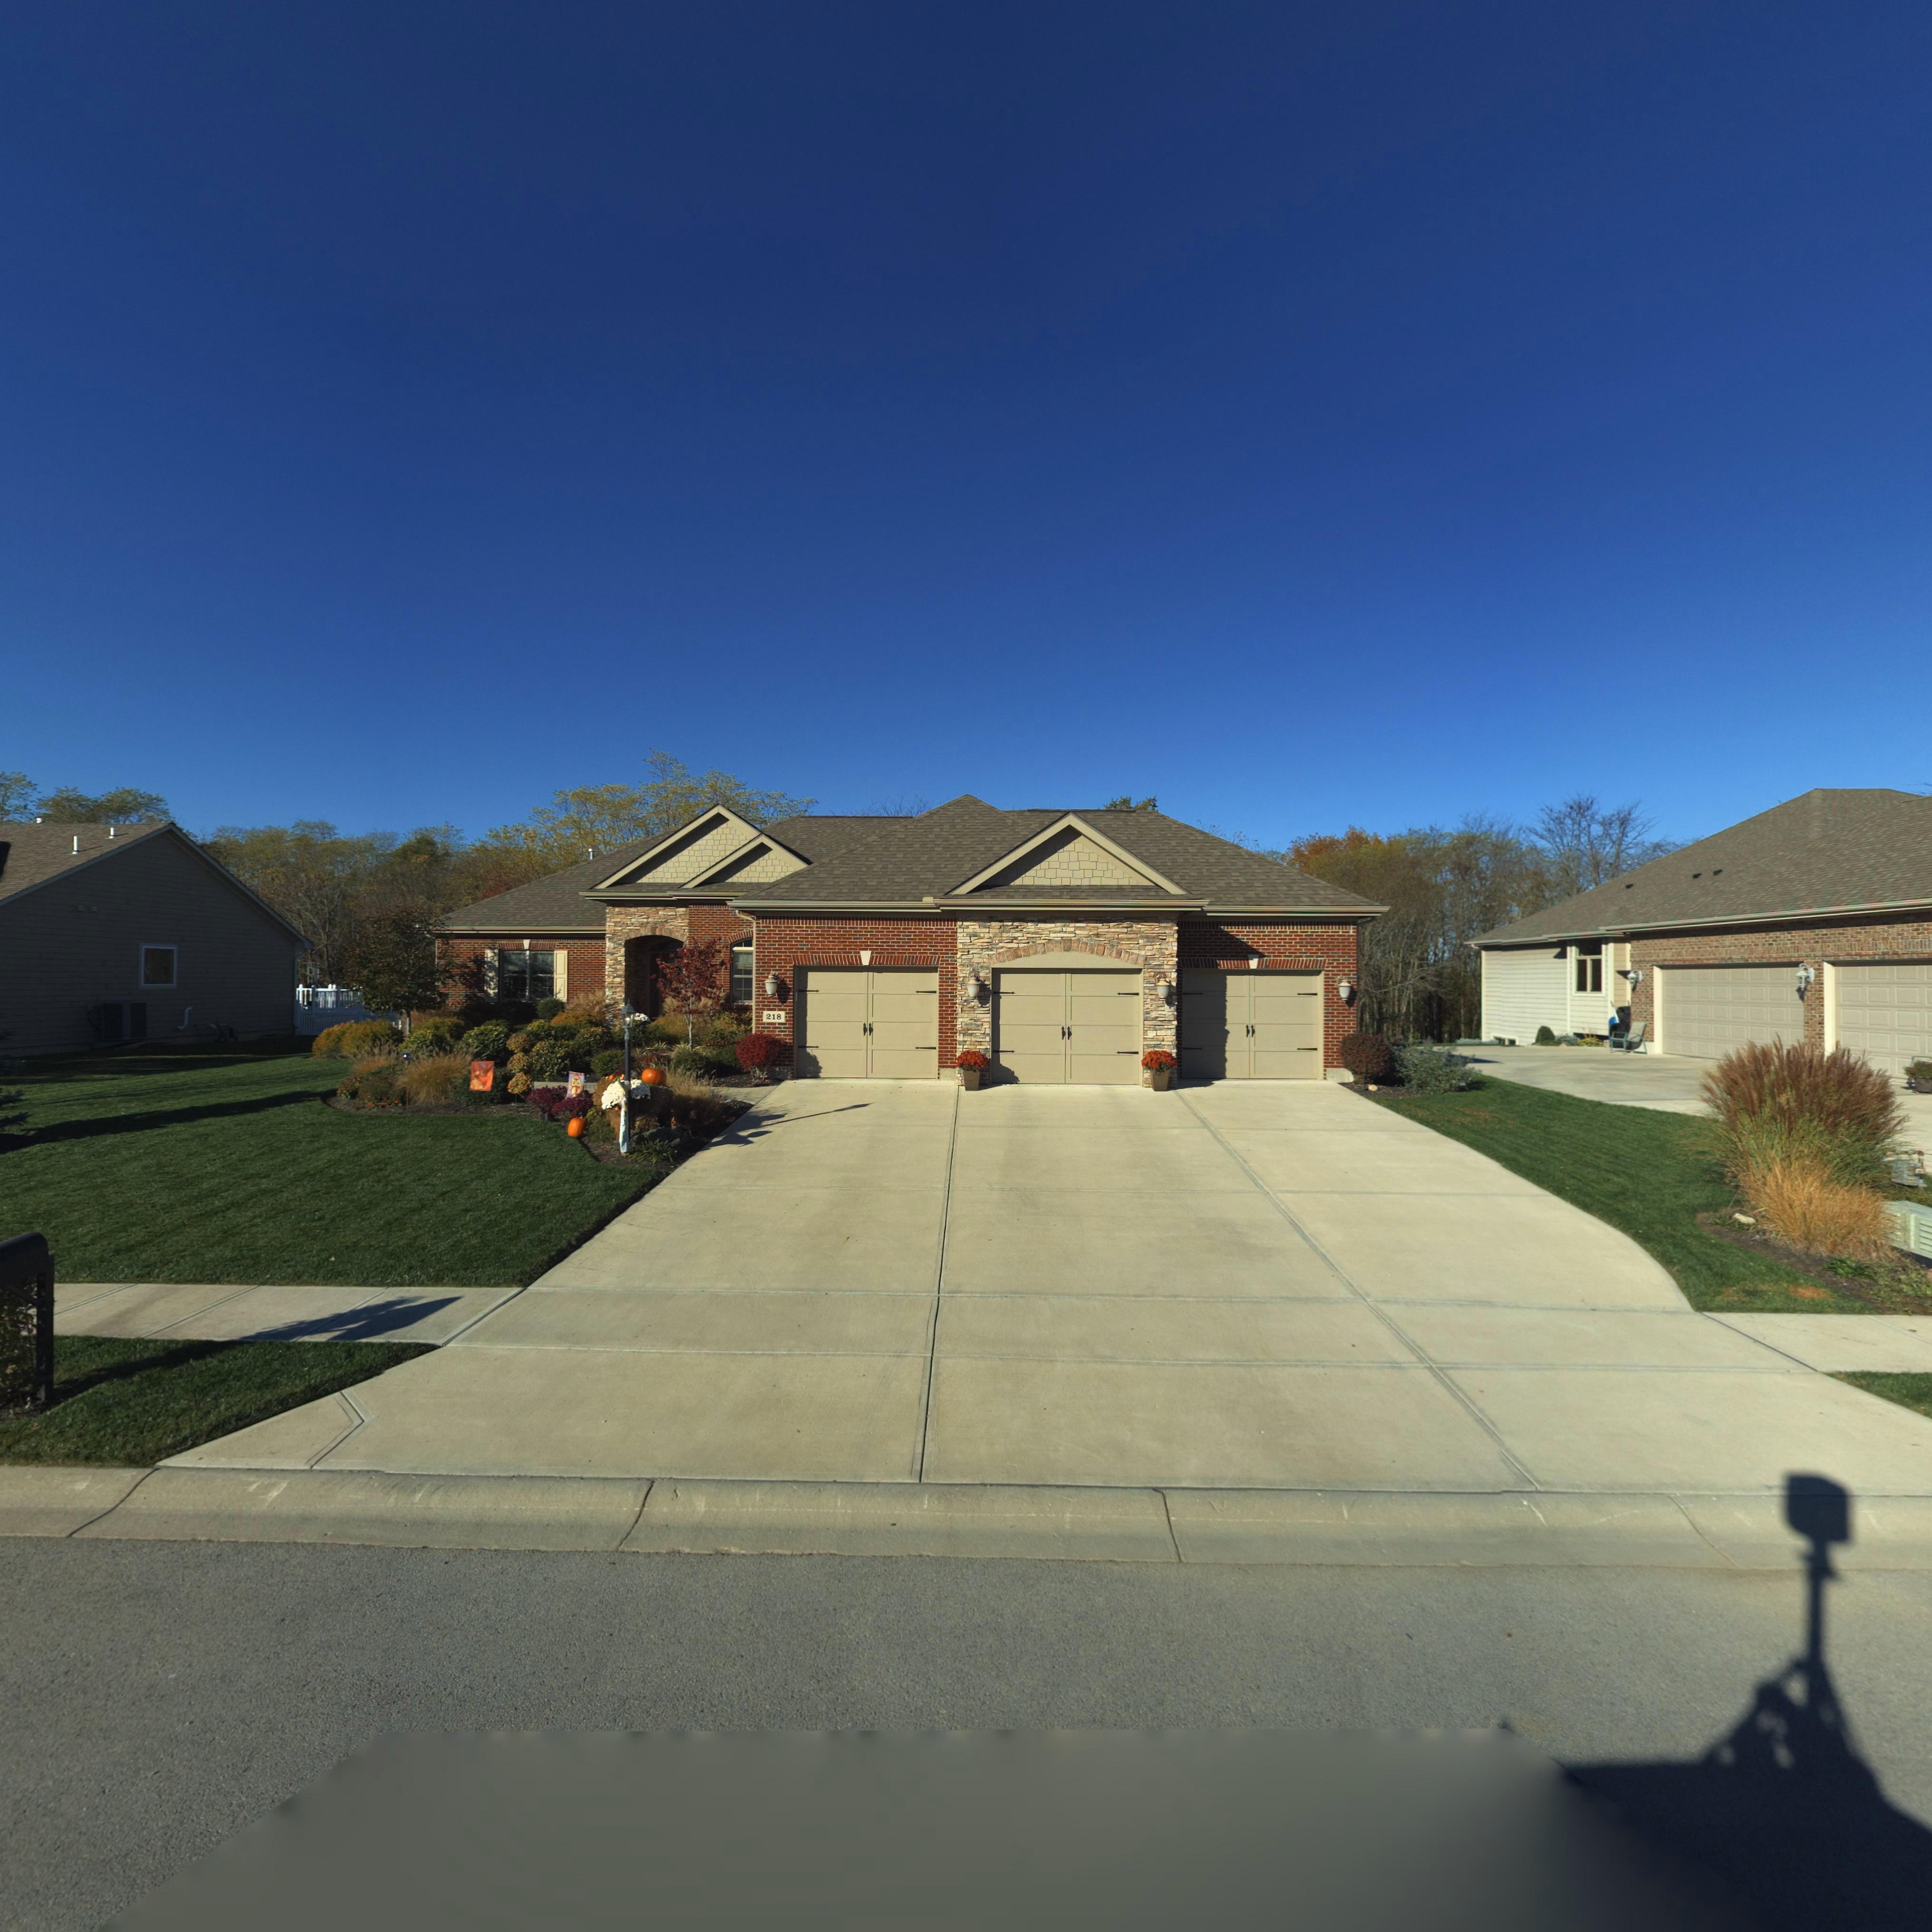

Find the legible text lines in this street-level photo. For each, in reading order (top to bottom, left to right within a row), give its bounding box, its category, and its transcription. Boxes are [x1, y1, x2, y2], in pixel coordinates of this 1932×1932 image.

[765, 1013, 782, 1021] StreetNumber: 218